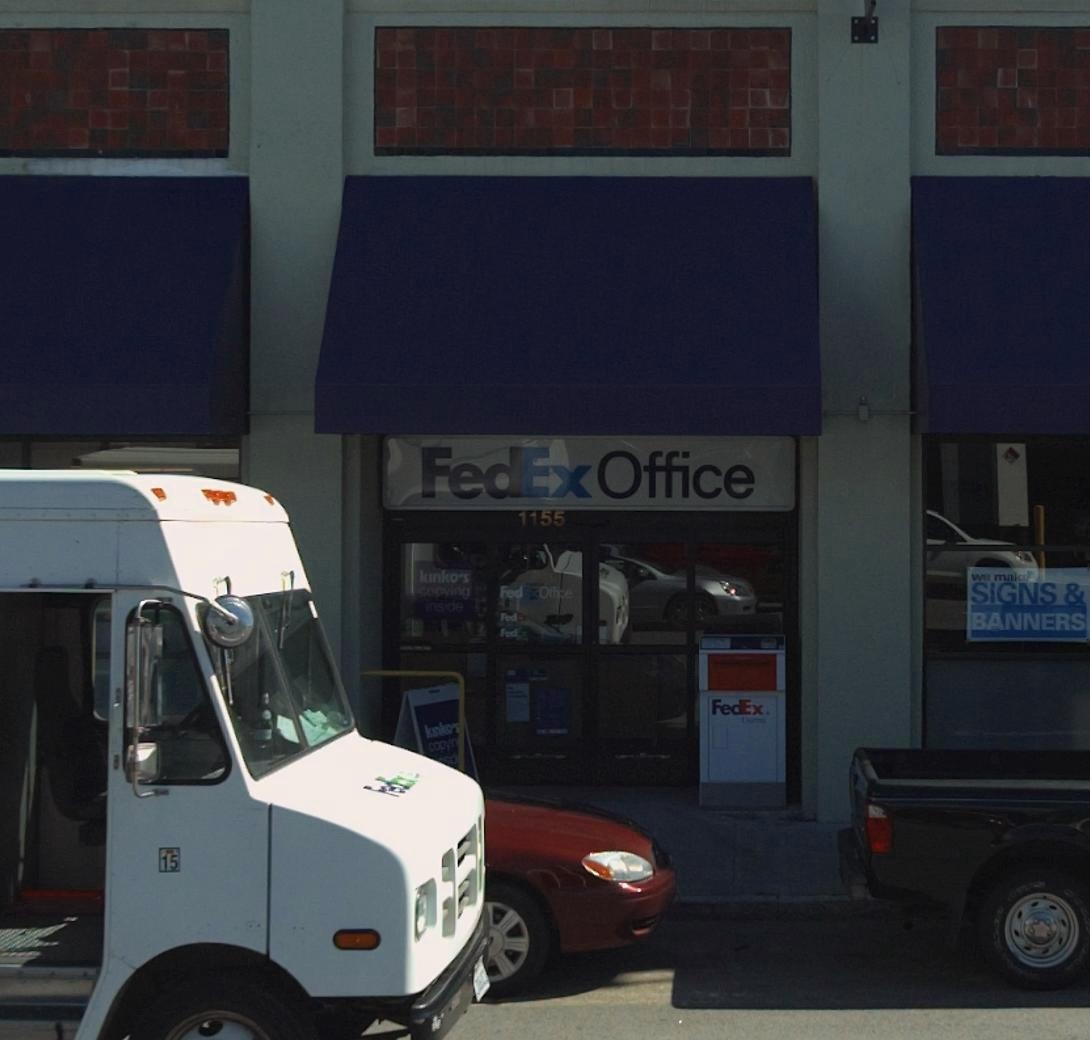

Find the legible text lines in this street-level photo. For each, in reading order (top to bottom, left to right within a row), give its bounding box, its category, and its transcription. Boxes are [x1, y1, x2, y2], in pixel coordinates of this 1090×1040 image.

[417, 440, 759, 503] BusinessName: FedEx Office
[516, 508, 568, 529] StreetNumber: 1155
[417, 567, 472, 585] None: kinko's
[968, 570, 1032, 585] None: w* m*l*
[415, 584, 472, 602] None: copying
[498, 582, 575, 603] BusinessName: Fed**Office
[968, 579, 1090, 610] None: SIGNS &
[424, 598, 466, 614] None: inside
[503, 610, 520, 623] None: ed
[968, 608, 1088, 634] None: BANNERS
[503, 626, 520, 639] None: ed
[710, 697, 767, 717] None: FedEx
[422, 717, 460, 743] None: kinko'
[426, 737, 455, 754] None: copy*n
[356, 780, 406, 802] None: F
[159, 851, 182, 874] None: 15